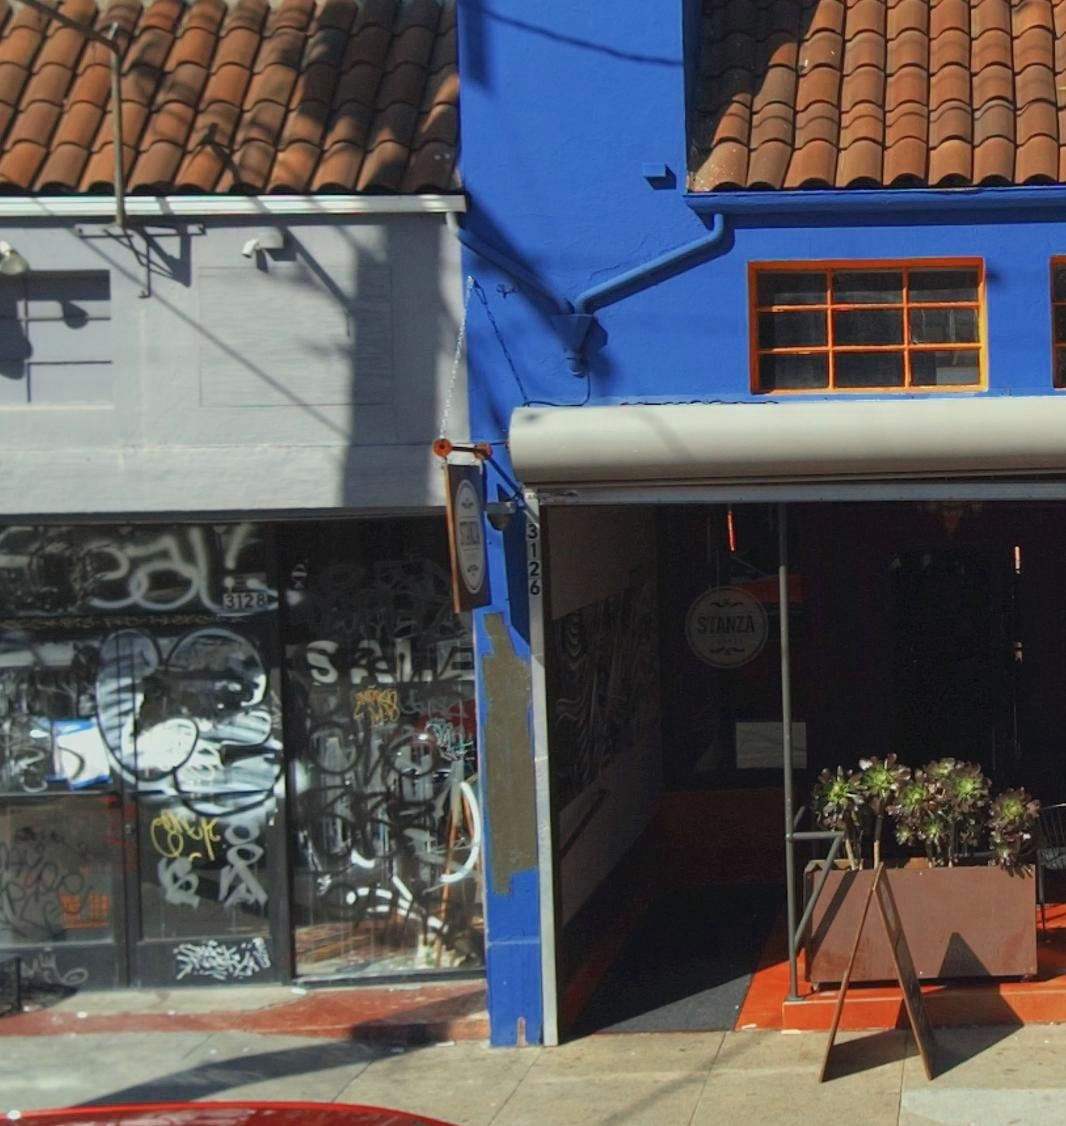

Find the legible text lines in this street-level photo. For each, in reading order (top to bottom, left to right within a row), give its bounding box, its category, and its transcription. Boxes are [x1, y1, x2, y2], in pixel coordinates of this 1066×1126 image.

[526, 522, 543, 598] StreetNumber: 3126
[695, 614, 758, 635] BusinessName: STANZA